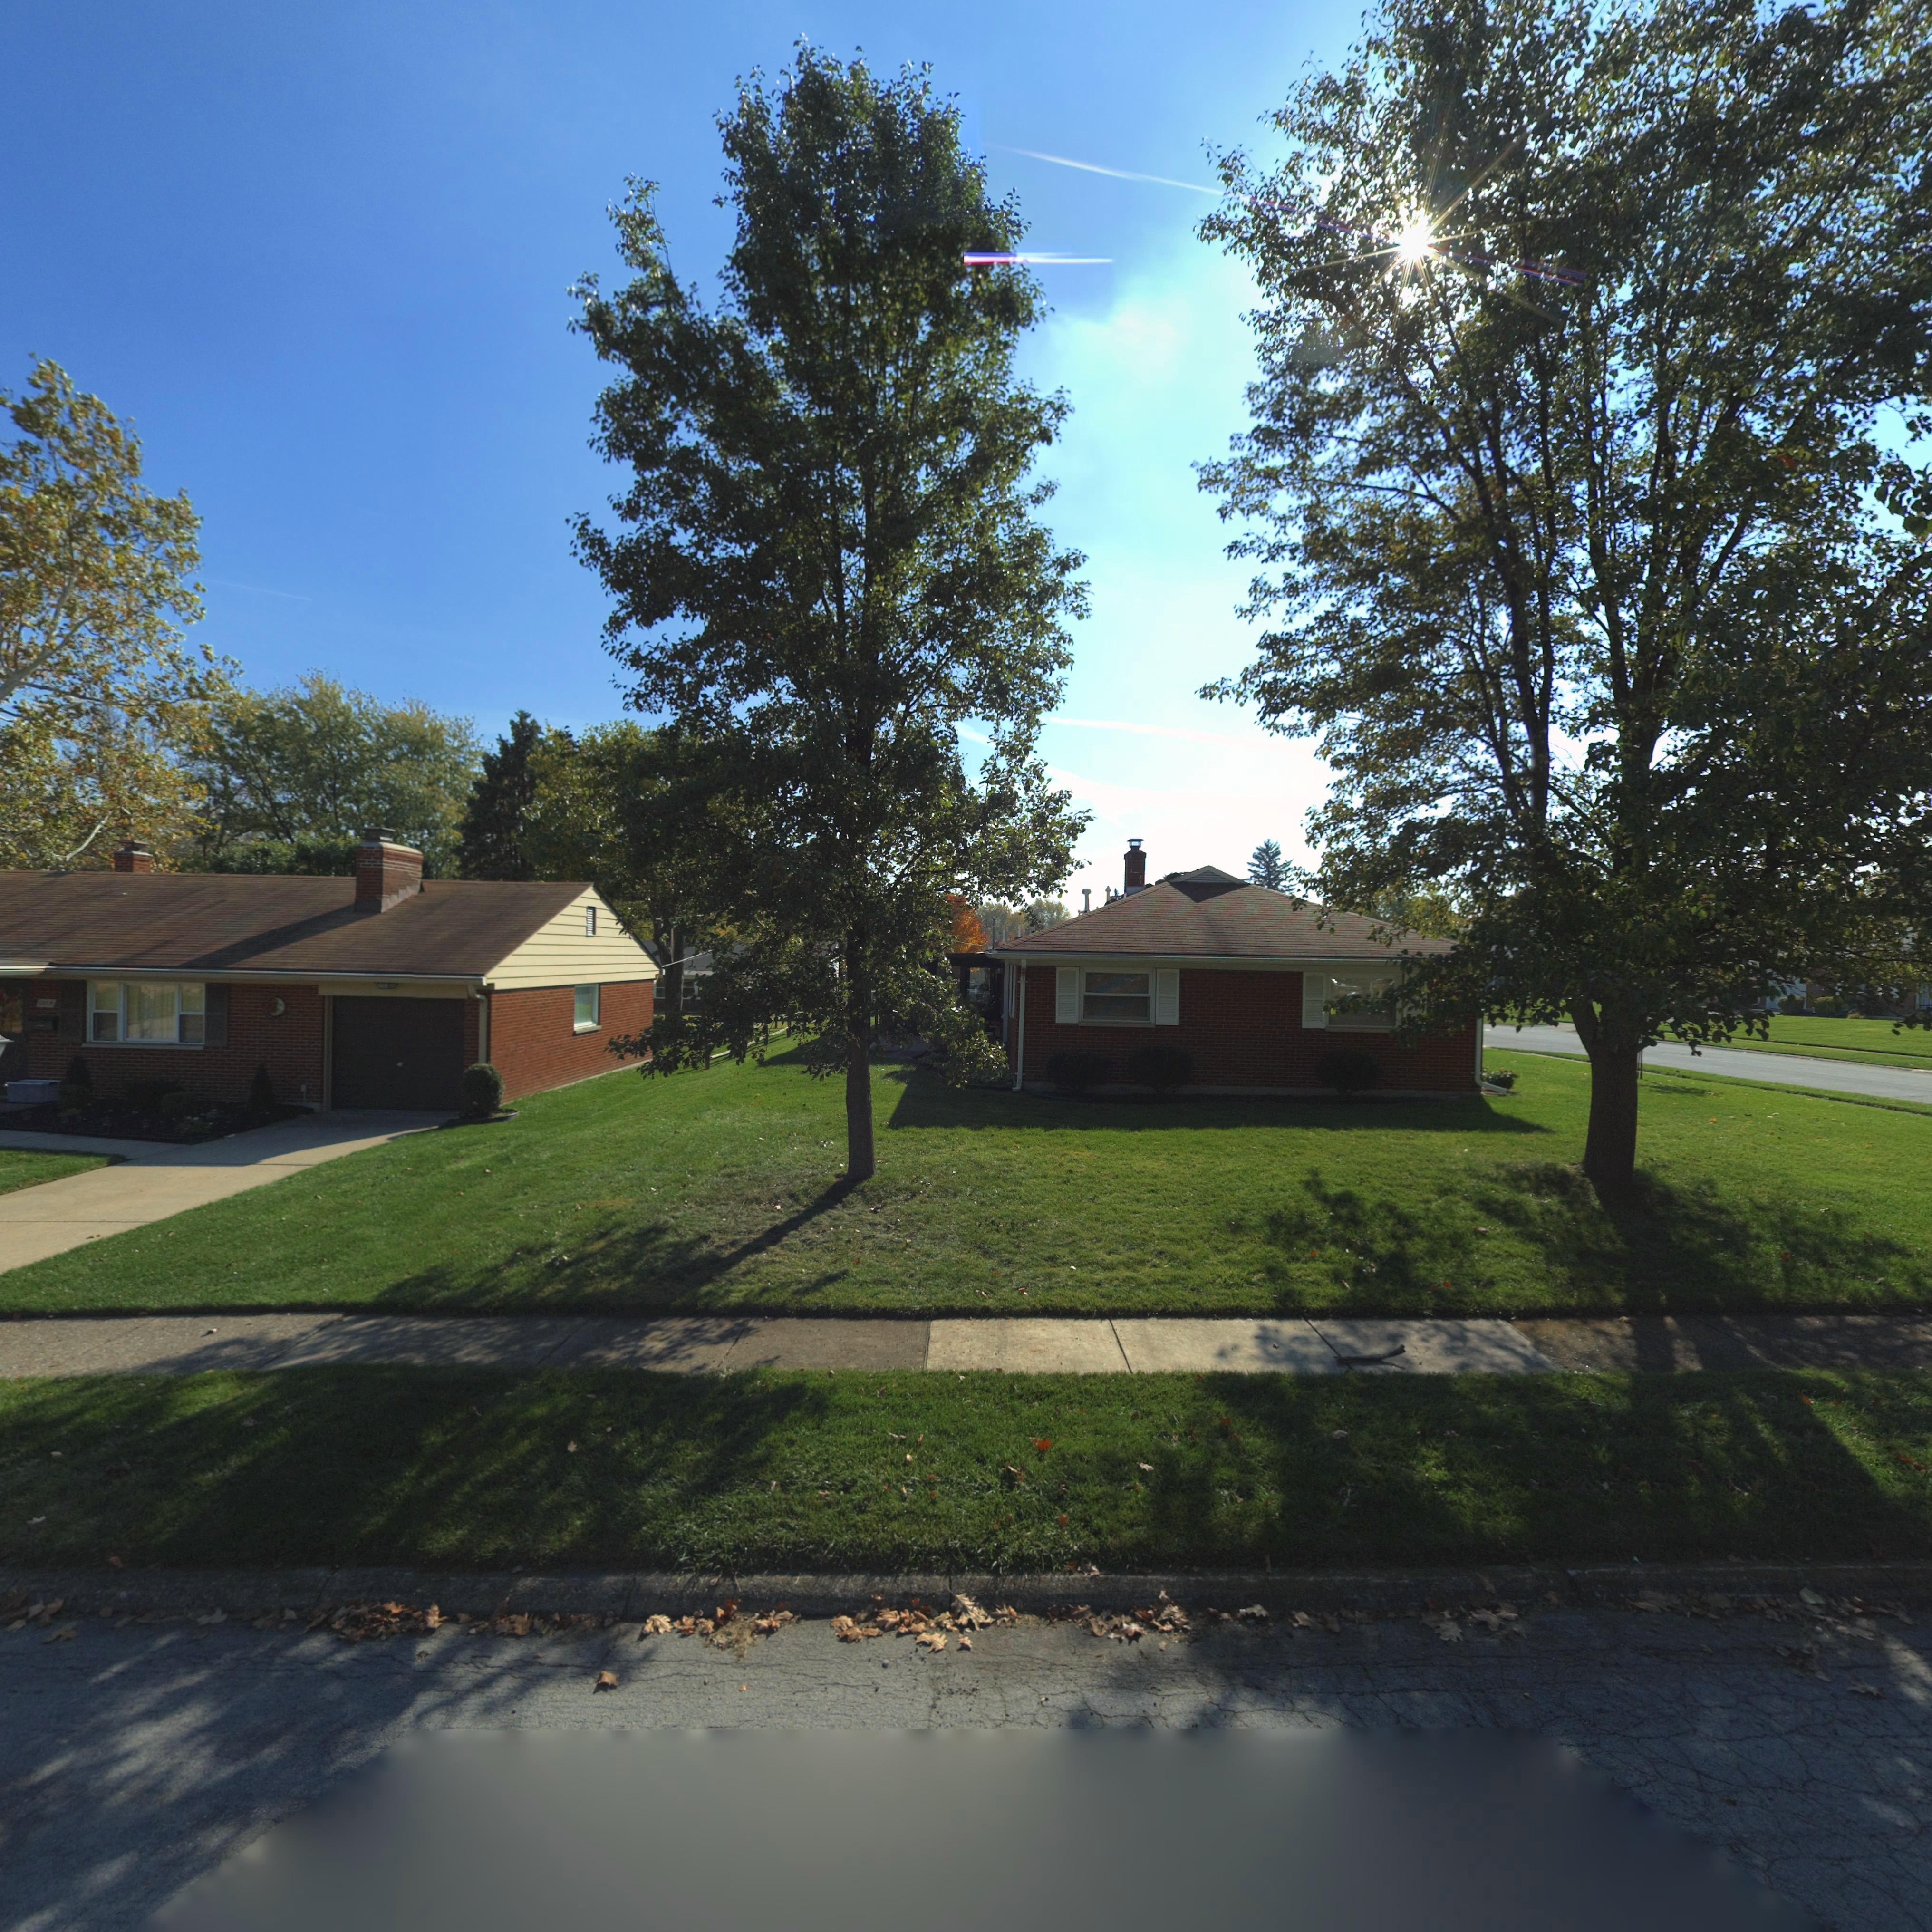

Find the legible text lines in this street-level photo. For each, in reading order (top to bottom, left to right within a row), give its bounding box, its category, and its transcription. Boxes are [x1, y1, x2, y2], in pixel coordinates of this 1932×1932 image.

[38, 1000, 54, 1006] StreetNumber: 1054